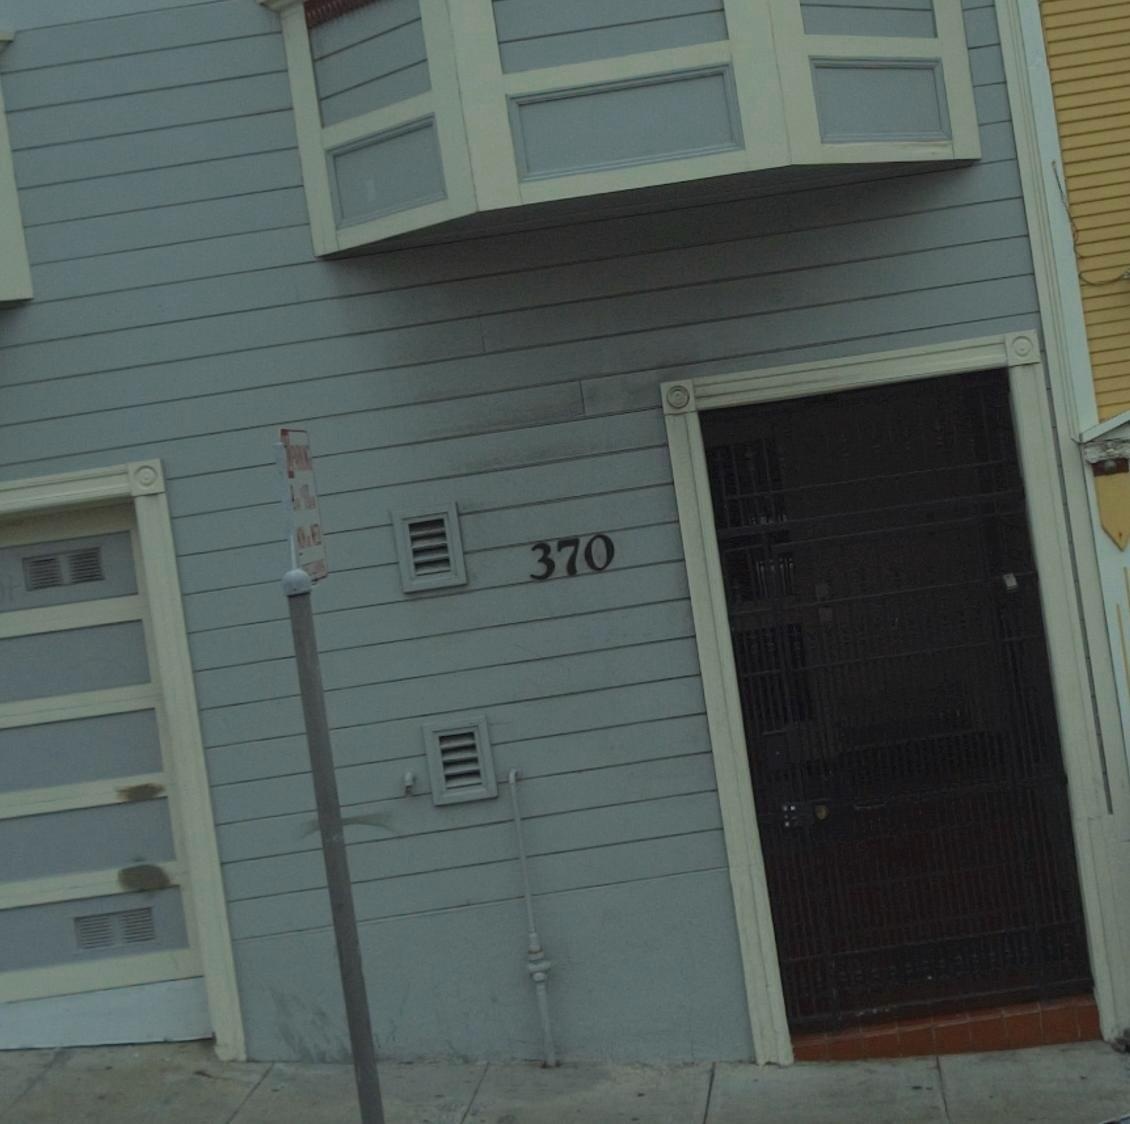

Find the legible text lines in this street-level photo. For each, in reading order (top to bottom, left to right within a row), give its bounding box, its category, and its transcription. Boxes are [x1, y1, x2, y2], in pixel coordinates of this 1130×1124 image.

[524, 527, 618, 586] StreetNumber: 370